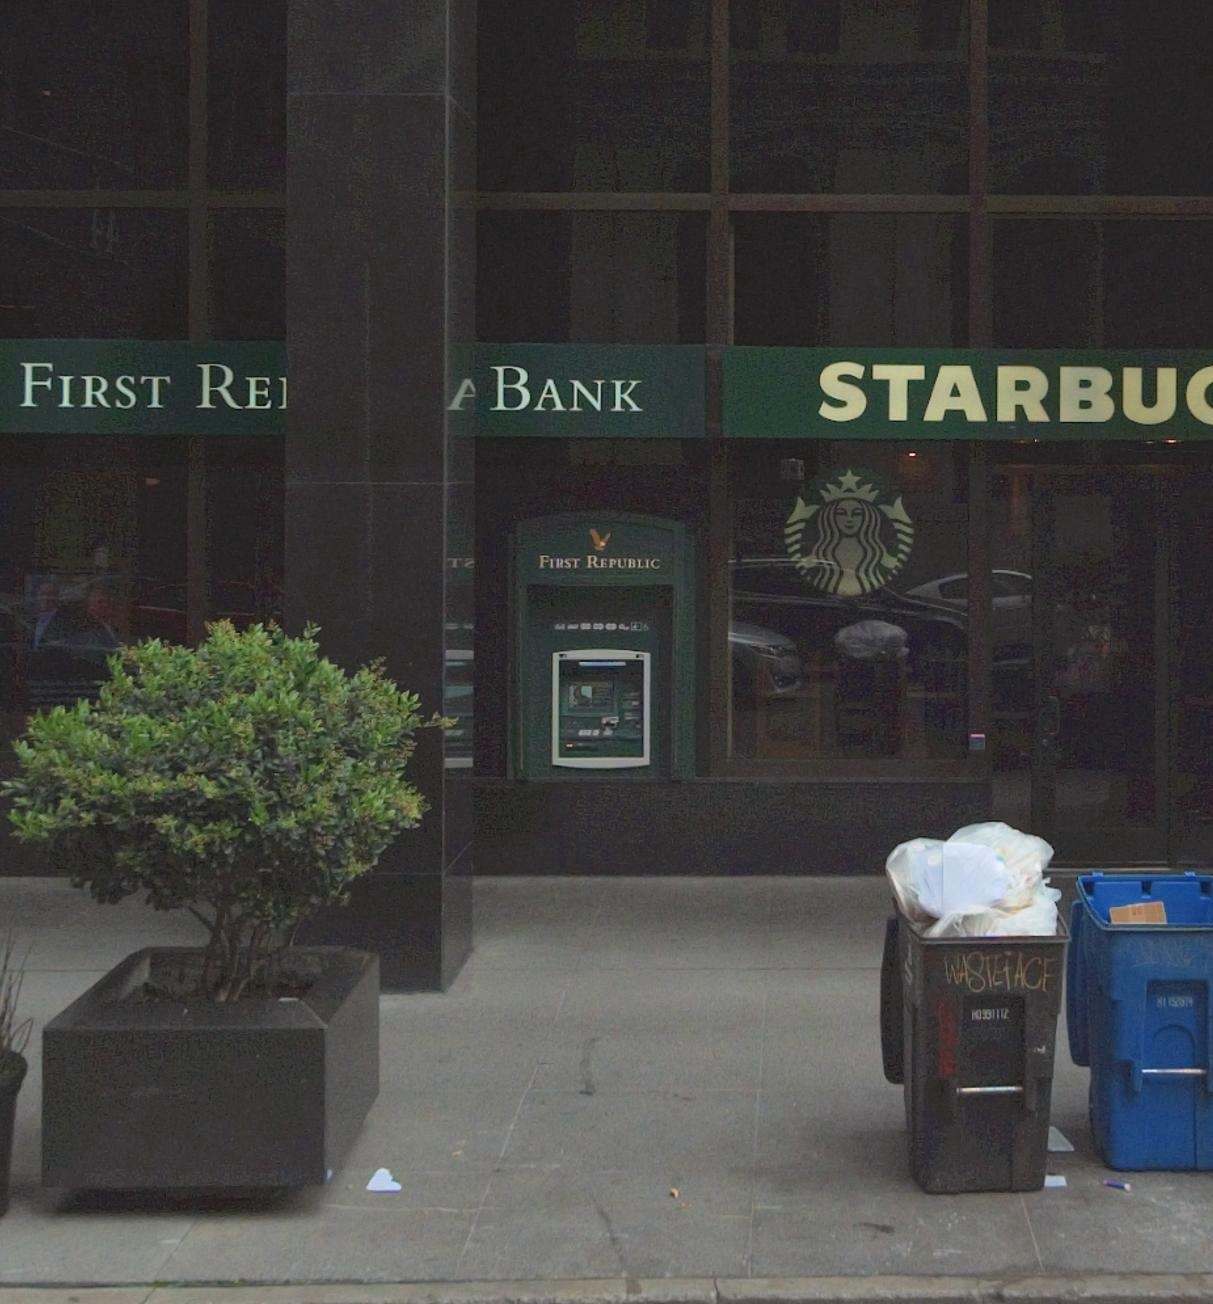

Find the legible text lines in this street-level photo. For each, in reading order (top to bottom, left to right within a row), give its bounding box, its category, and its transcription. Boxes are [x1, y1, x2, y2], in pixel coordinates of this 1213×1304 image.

[14, 356, 273, 412] BusinessName: FIRST RE
[483, 358, 645, 414] BusinessName: BANK
[814, 357, 1183, 429] BusinessName: STARBU
[536, 552, 664, 572] BusinessName: First Republic Bank
[932, 939, 1061, 994] None: WASTEiACE